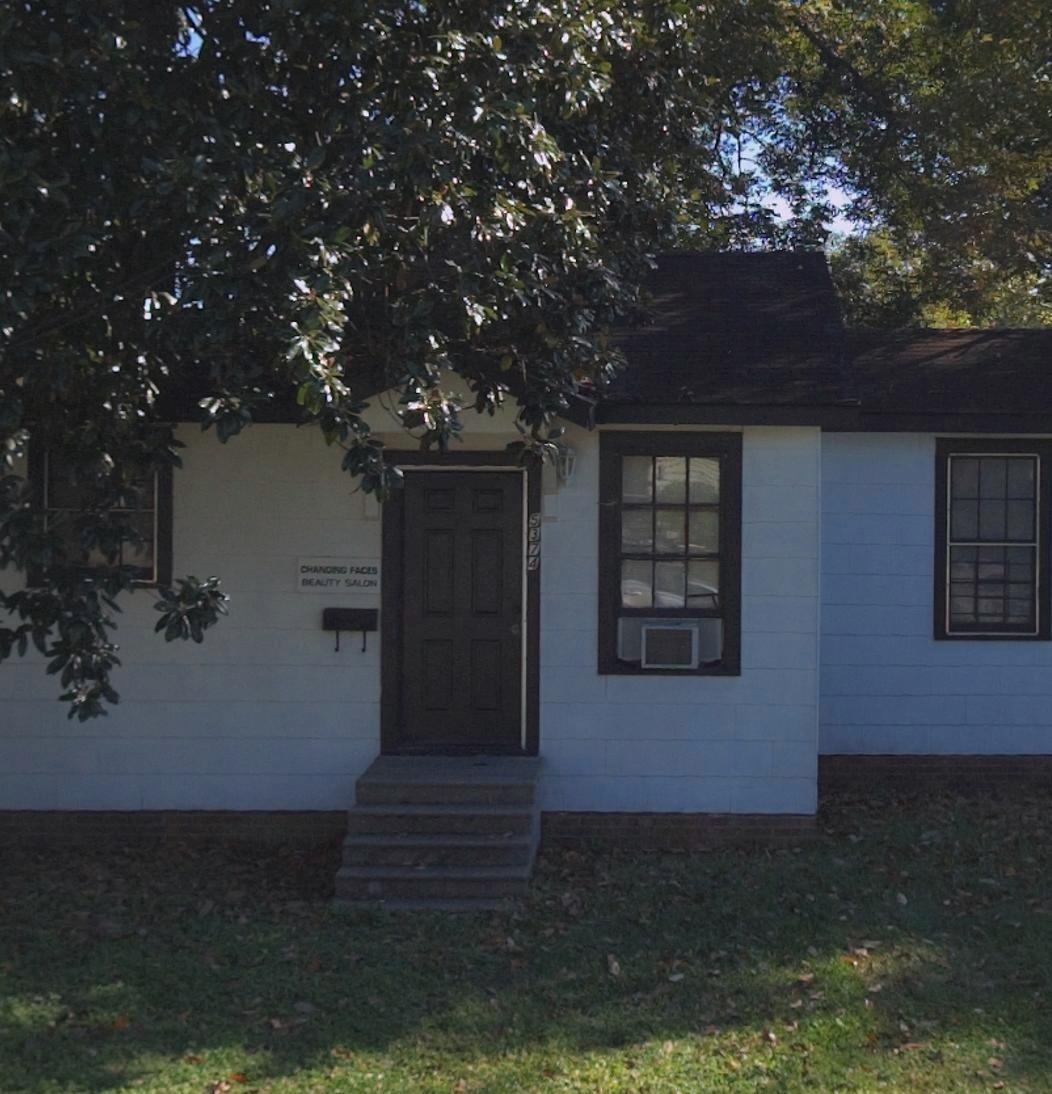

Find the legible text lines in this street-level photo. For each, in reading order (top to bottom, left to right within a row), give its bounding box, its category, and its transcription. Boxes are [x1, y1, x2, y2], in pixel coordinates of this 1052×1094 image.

[529, 513, 539, 571] StreetNumber: 5374
[298, 564, 378, 574] BusinessName: CHANGING FACES
[300, 577, 376, 587] BusinessName: BEAUTY SALON